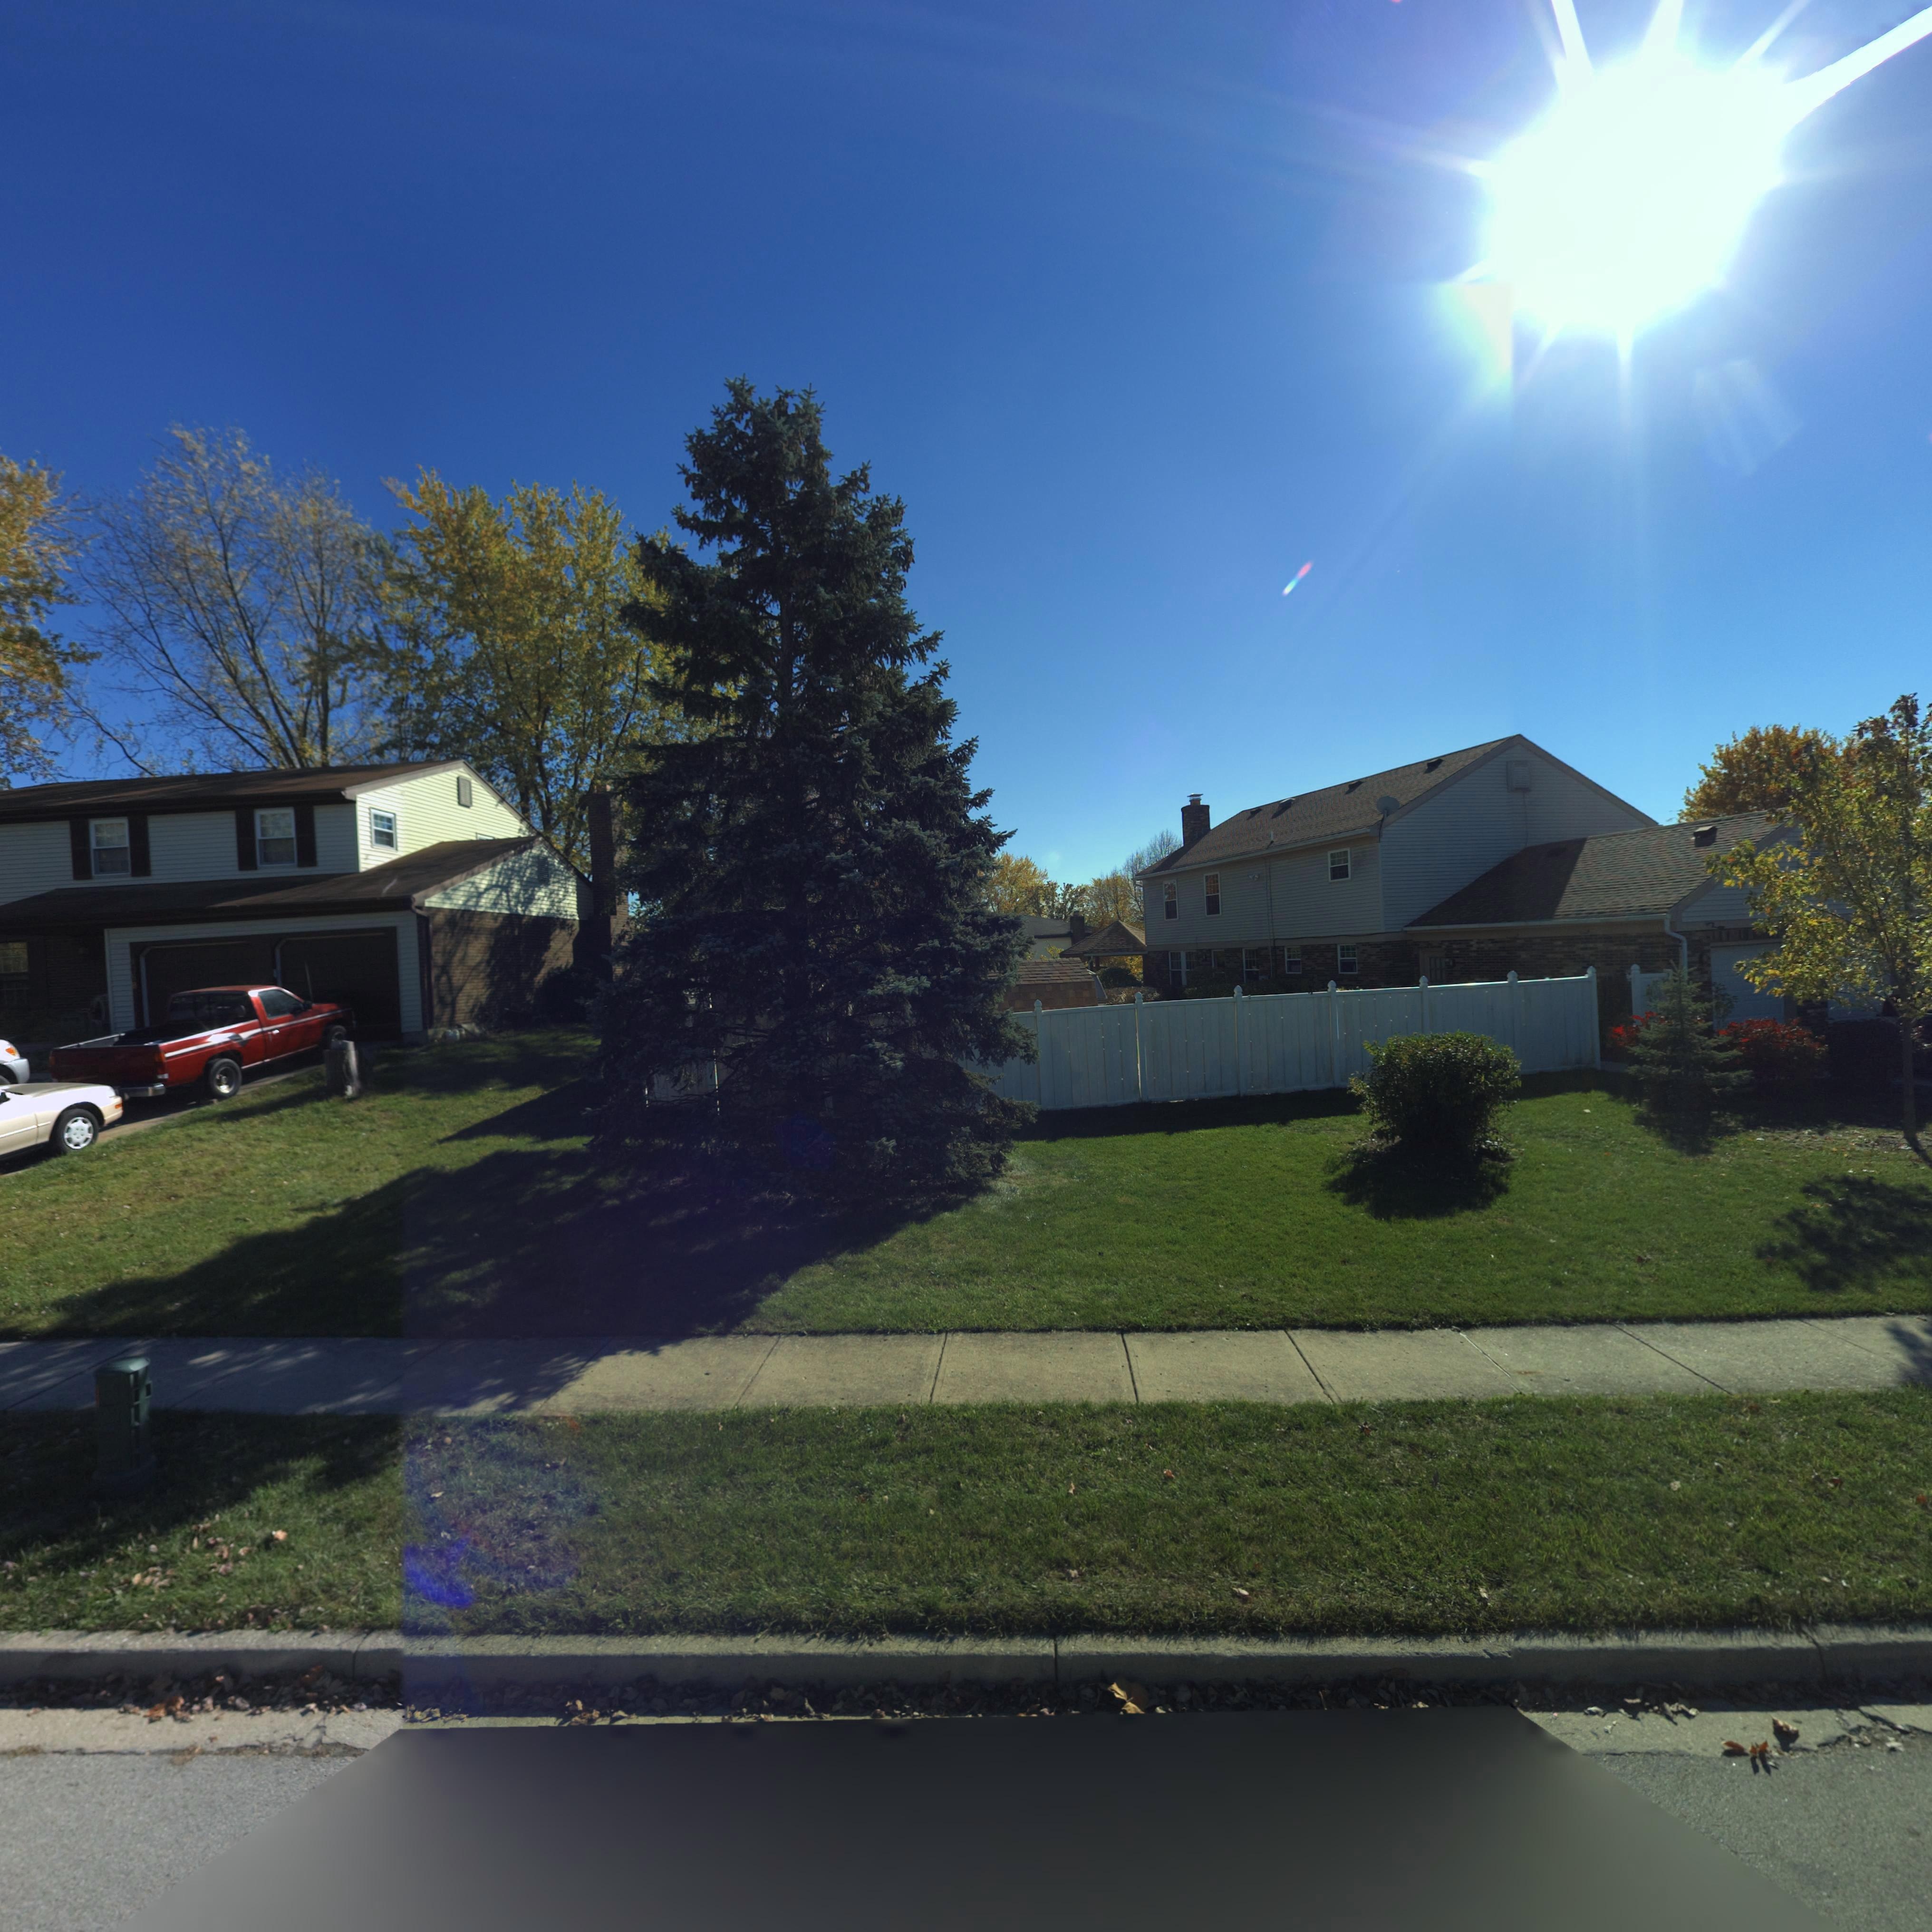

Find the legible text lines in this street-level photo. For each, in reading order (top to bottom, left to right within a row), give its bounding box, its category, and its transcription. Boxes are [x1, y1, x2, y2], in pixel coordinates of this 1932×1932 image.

[130, 957, 137, 990] StreetNumber: 4*56